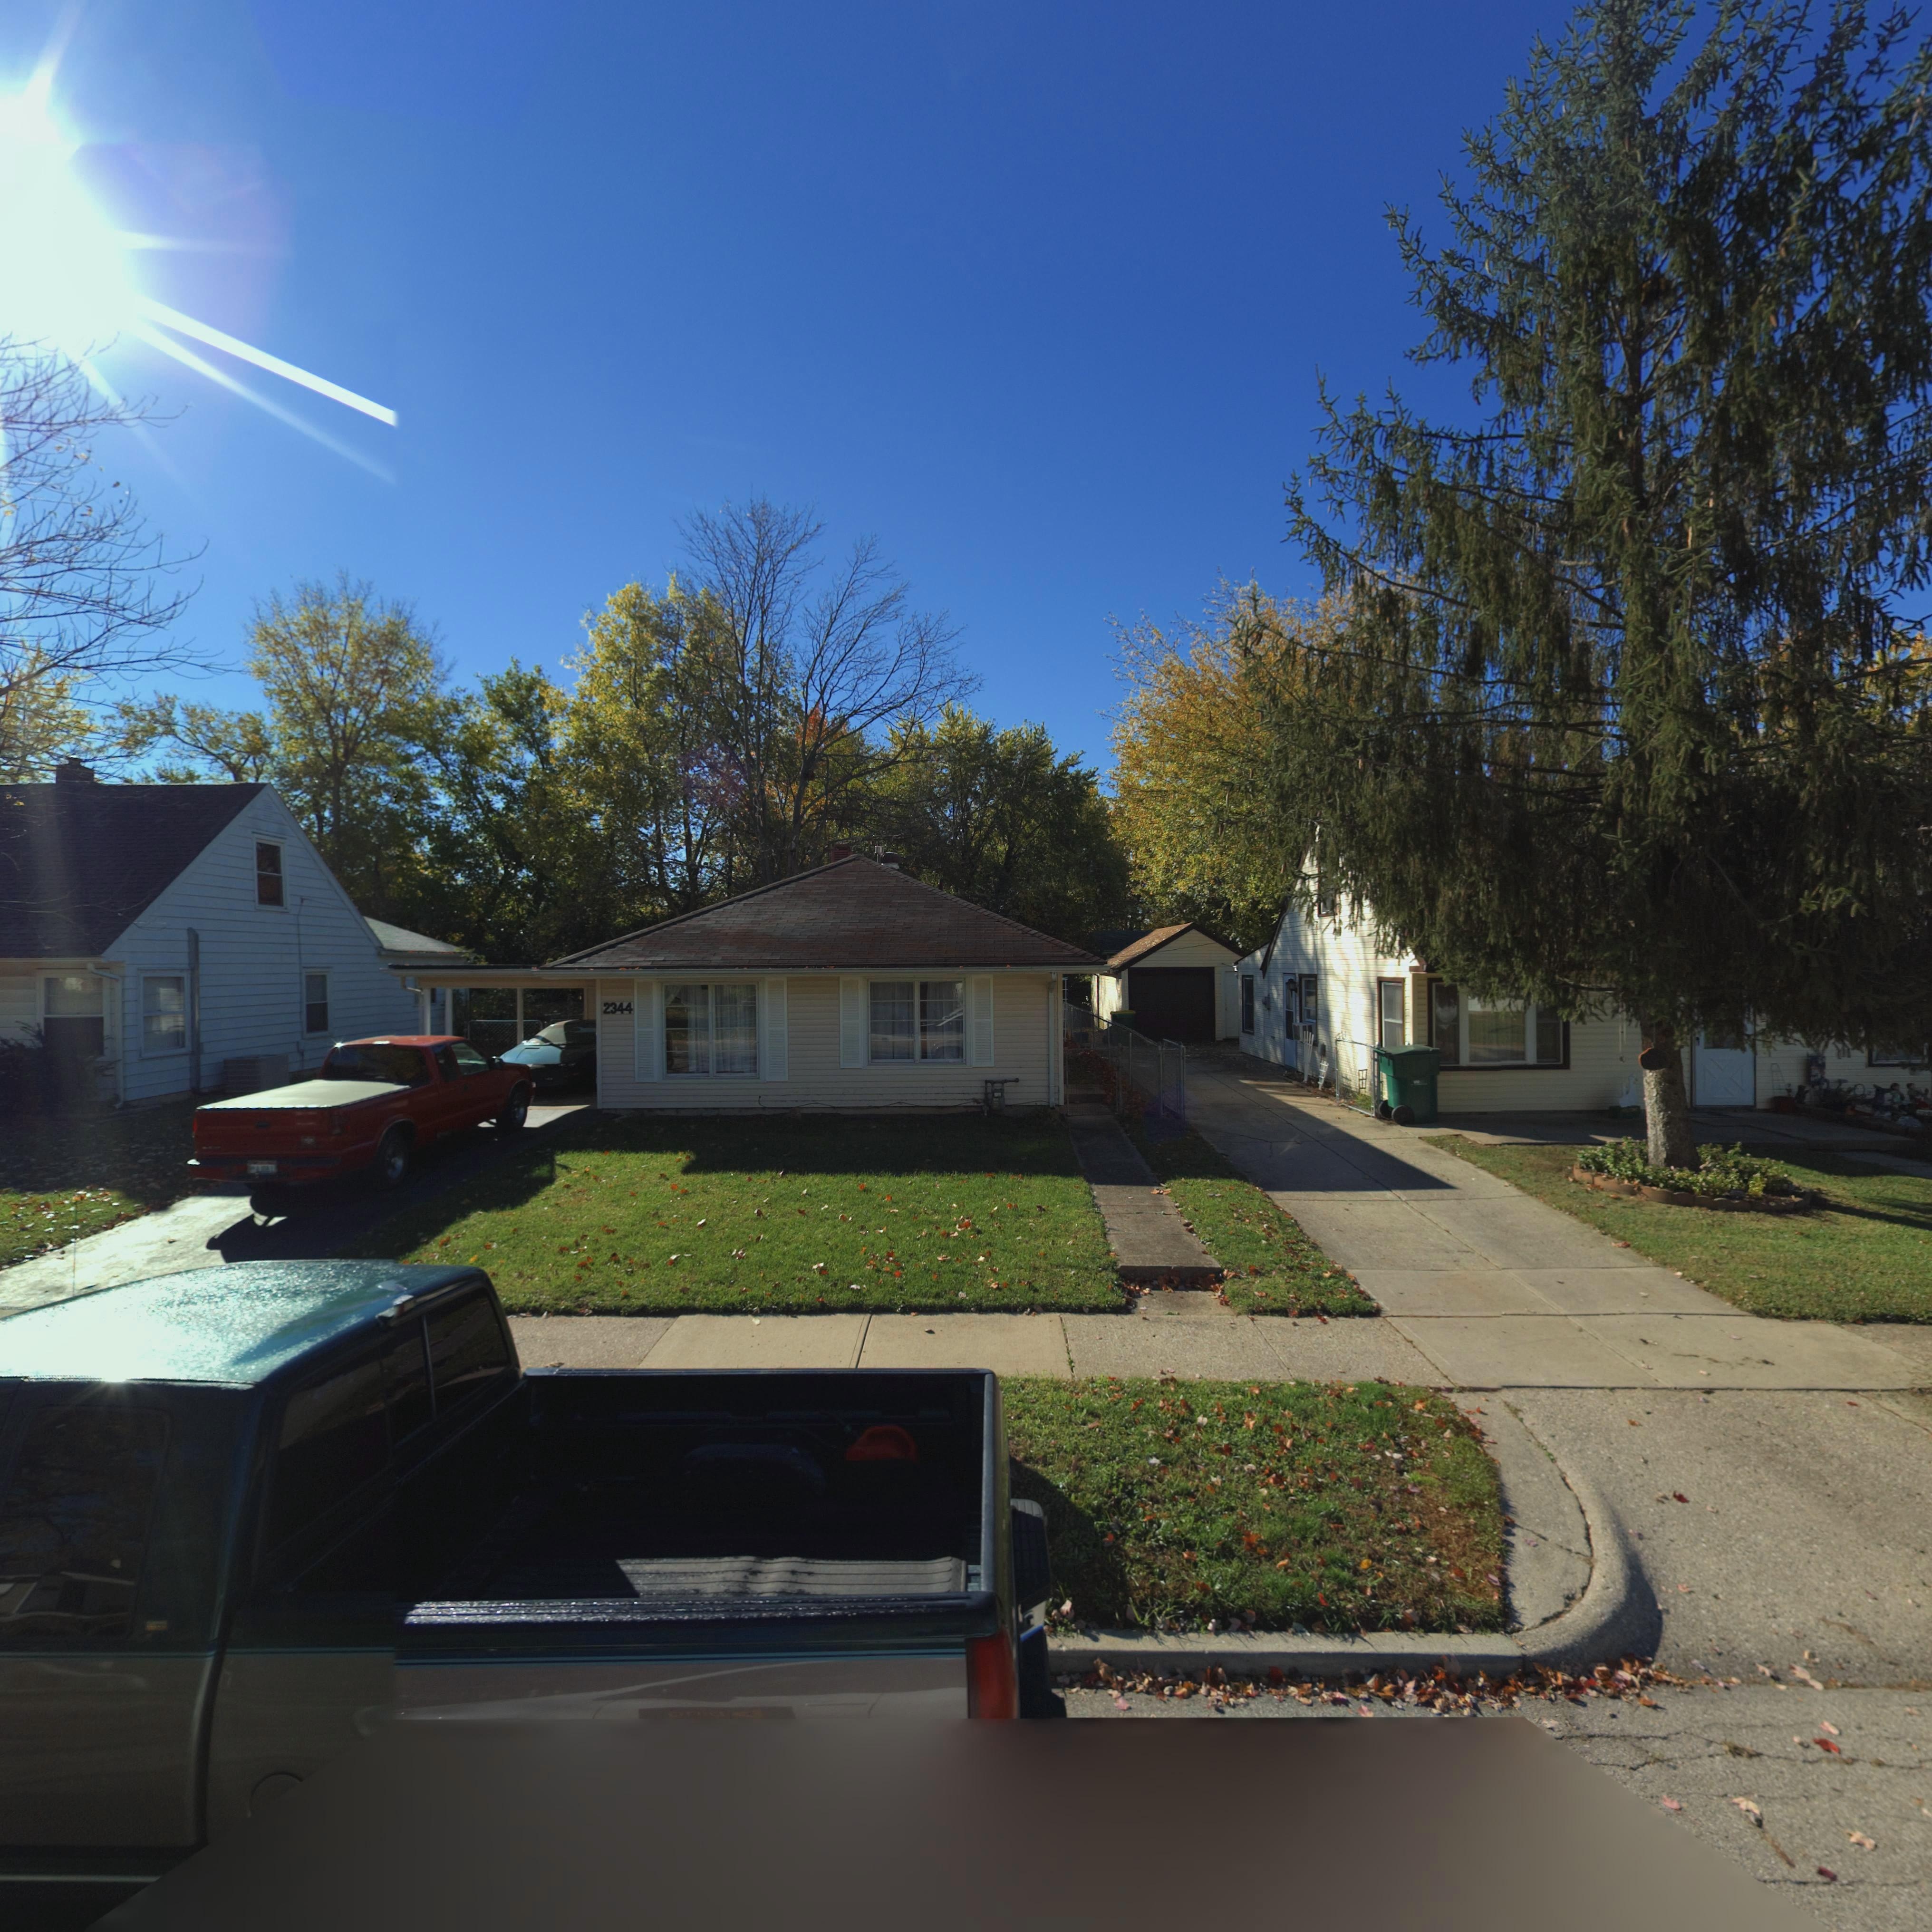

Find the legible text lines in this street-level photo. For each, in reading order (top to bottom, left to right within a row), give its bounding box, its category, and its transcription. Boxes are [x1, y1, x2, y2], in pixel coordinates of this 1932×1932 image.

[602, 1001, 633, 1015] StreetNumber: 2344